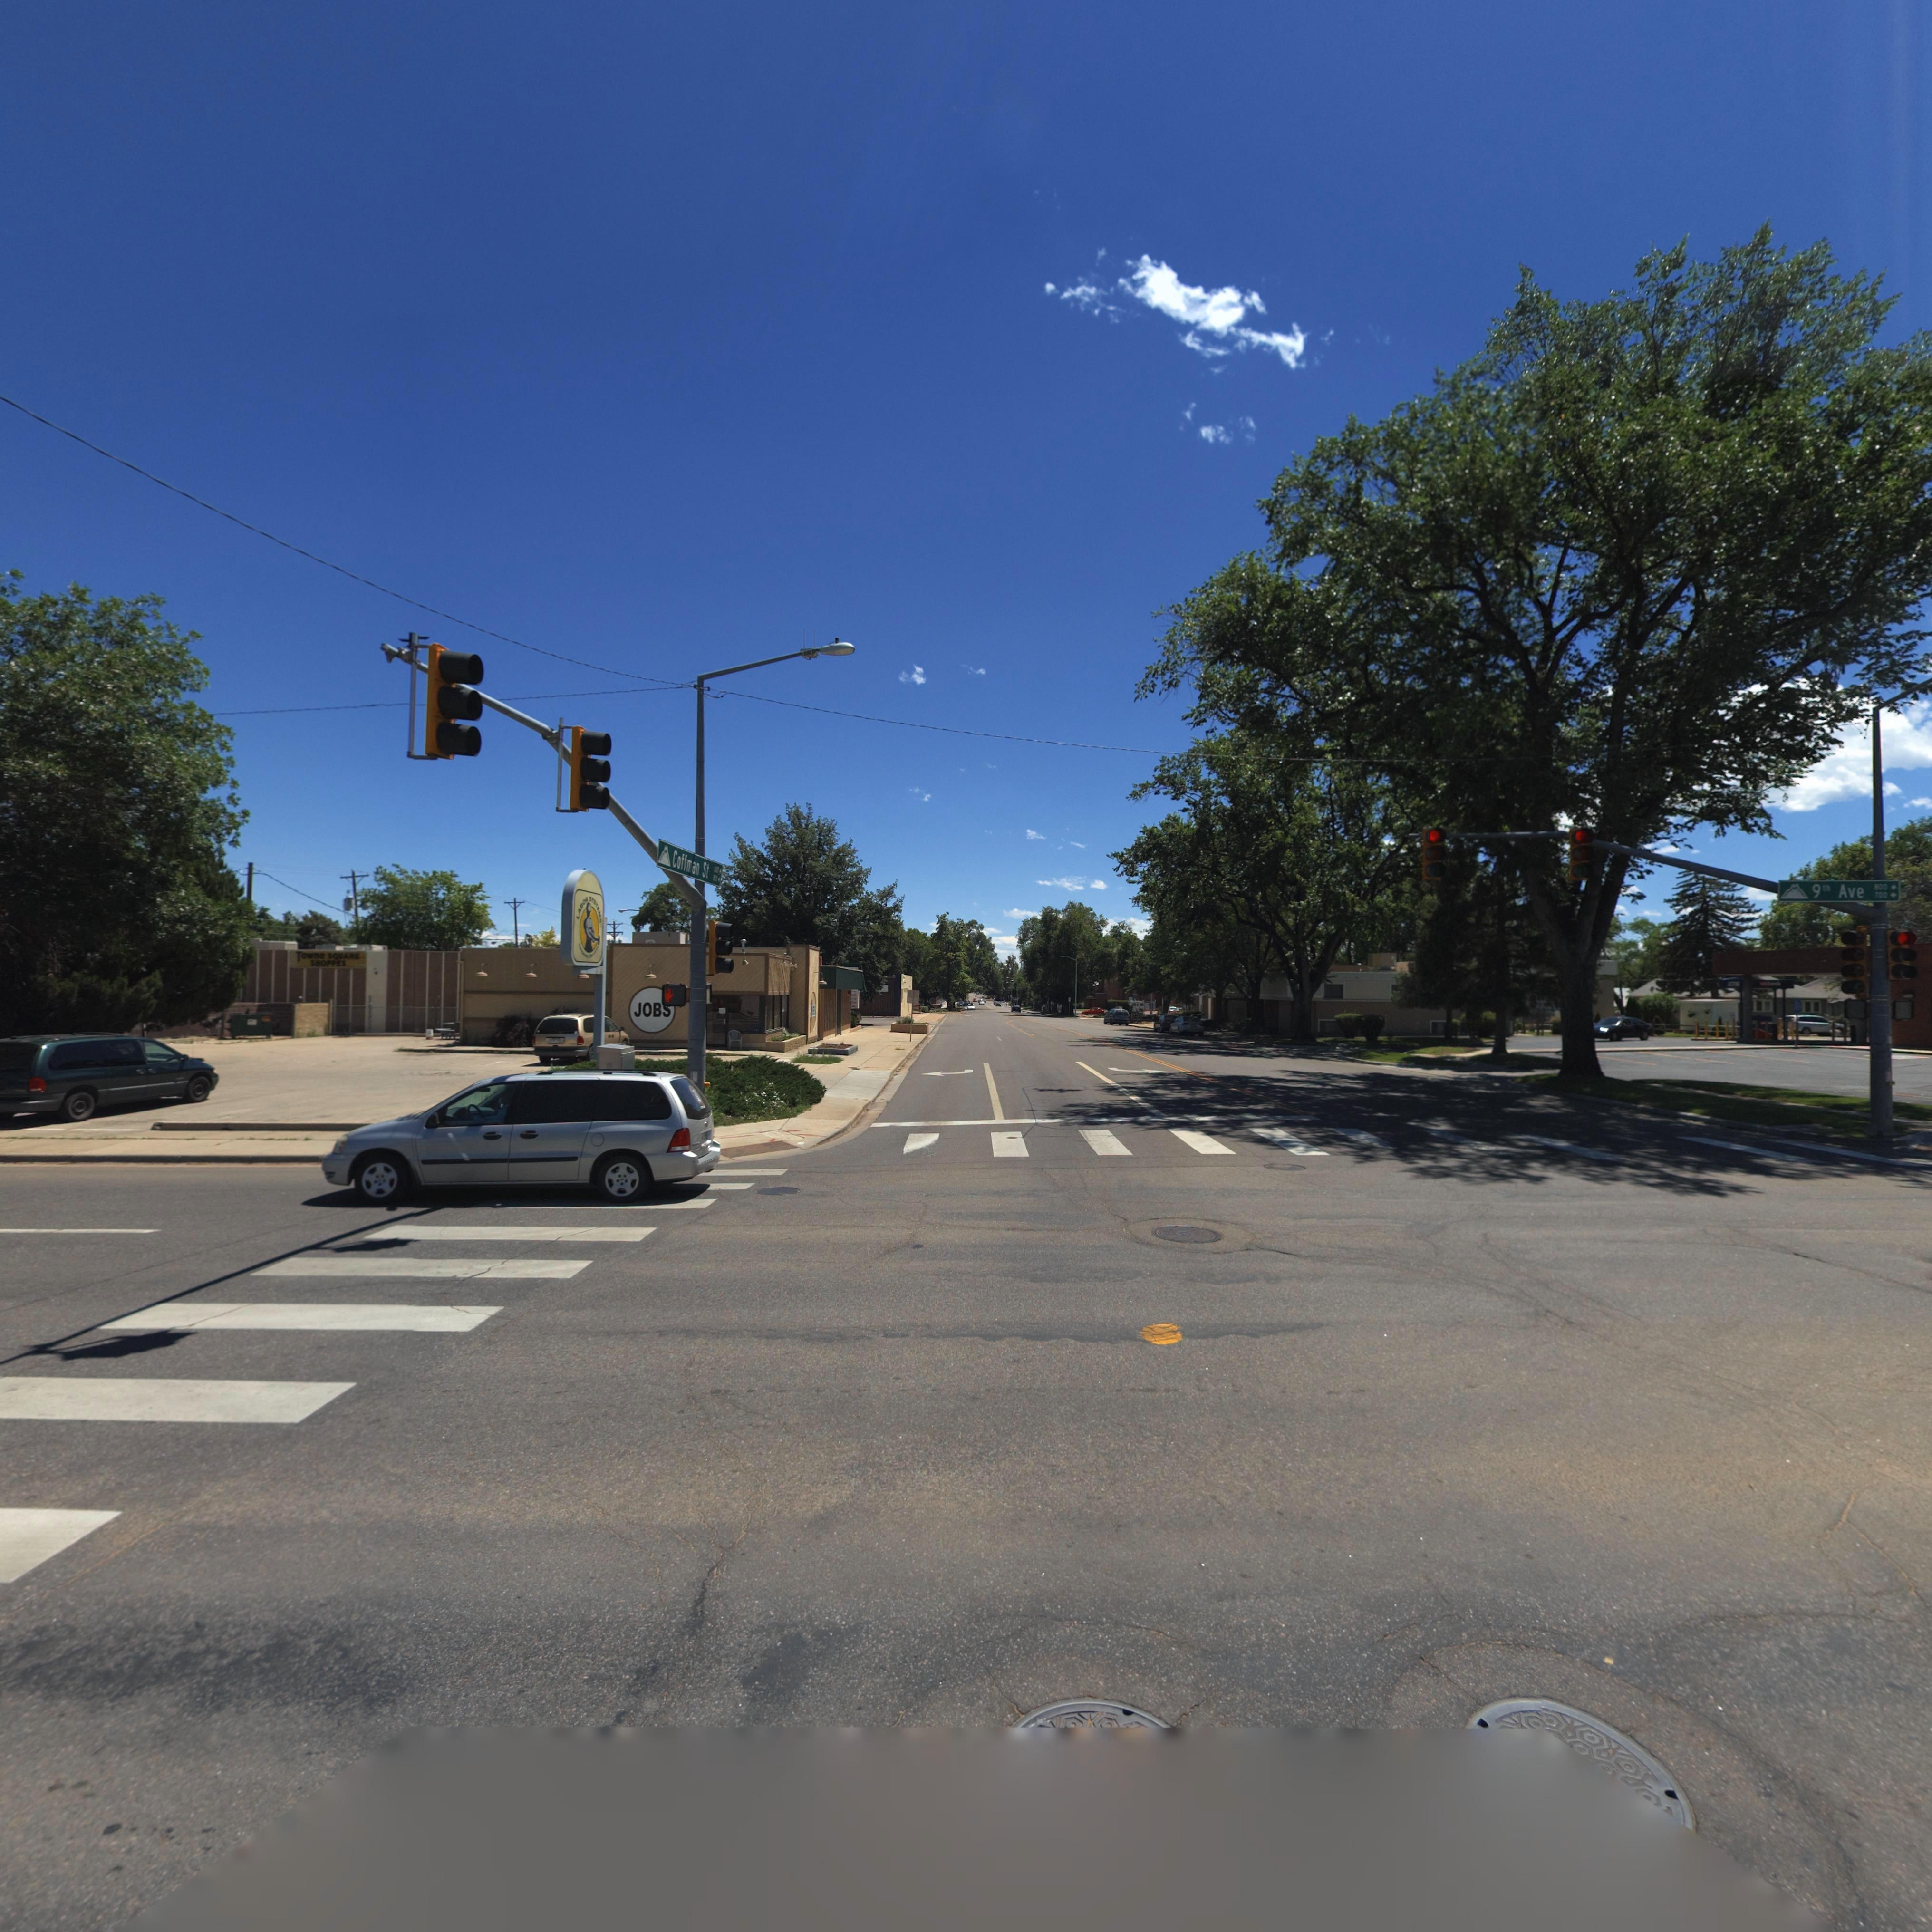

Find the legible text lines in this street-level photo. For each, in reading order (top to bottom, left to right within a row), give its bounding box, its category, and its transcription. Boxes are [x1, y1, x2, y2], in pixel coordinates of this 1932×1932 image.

[671, 849, 710, 879] StreetName: Coffman St
[713, 865, 720, 874] StreetNumberRange: *00
[712, 873, 721, 884] StreetNumberRange: *00 ->
[1811, 883, 1865, 899] StreetName: 9th Ave
[1873, 883, 1888, 890] StreetNumberRange: 800
[1873, 891, 1897, 898] StreetNumberRange: *00 ->
[576, 896, 602, 924] BusinessName: LABOR S**T*MS
[294, 951, 360, 963] BusinessName: Towne SQUARE
[310, 959, 347, 966] BusinessName: SHOPPES
[1758, 980, 1781, 985] BusinessName: us b**k